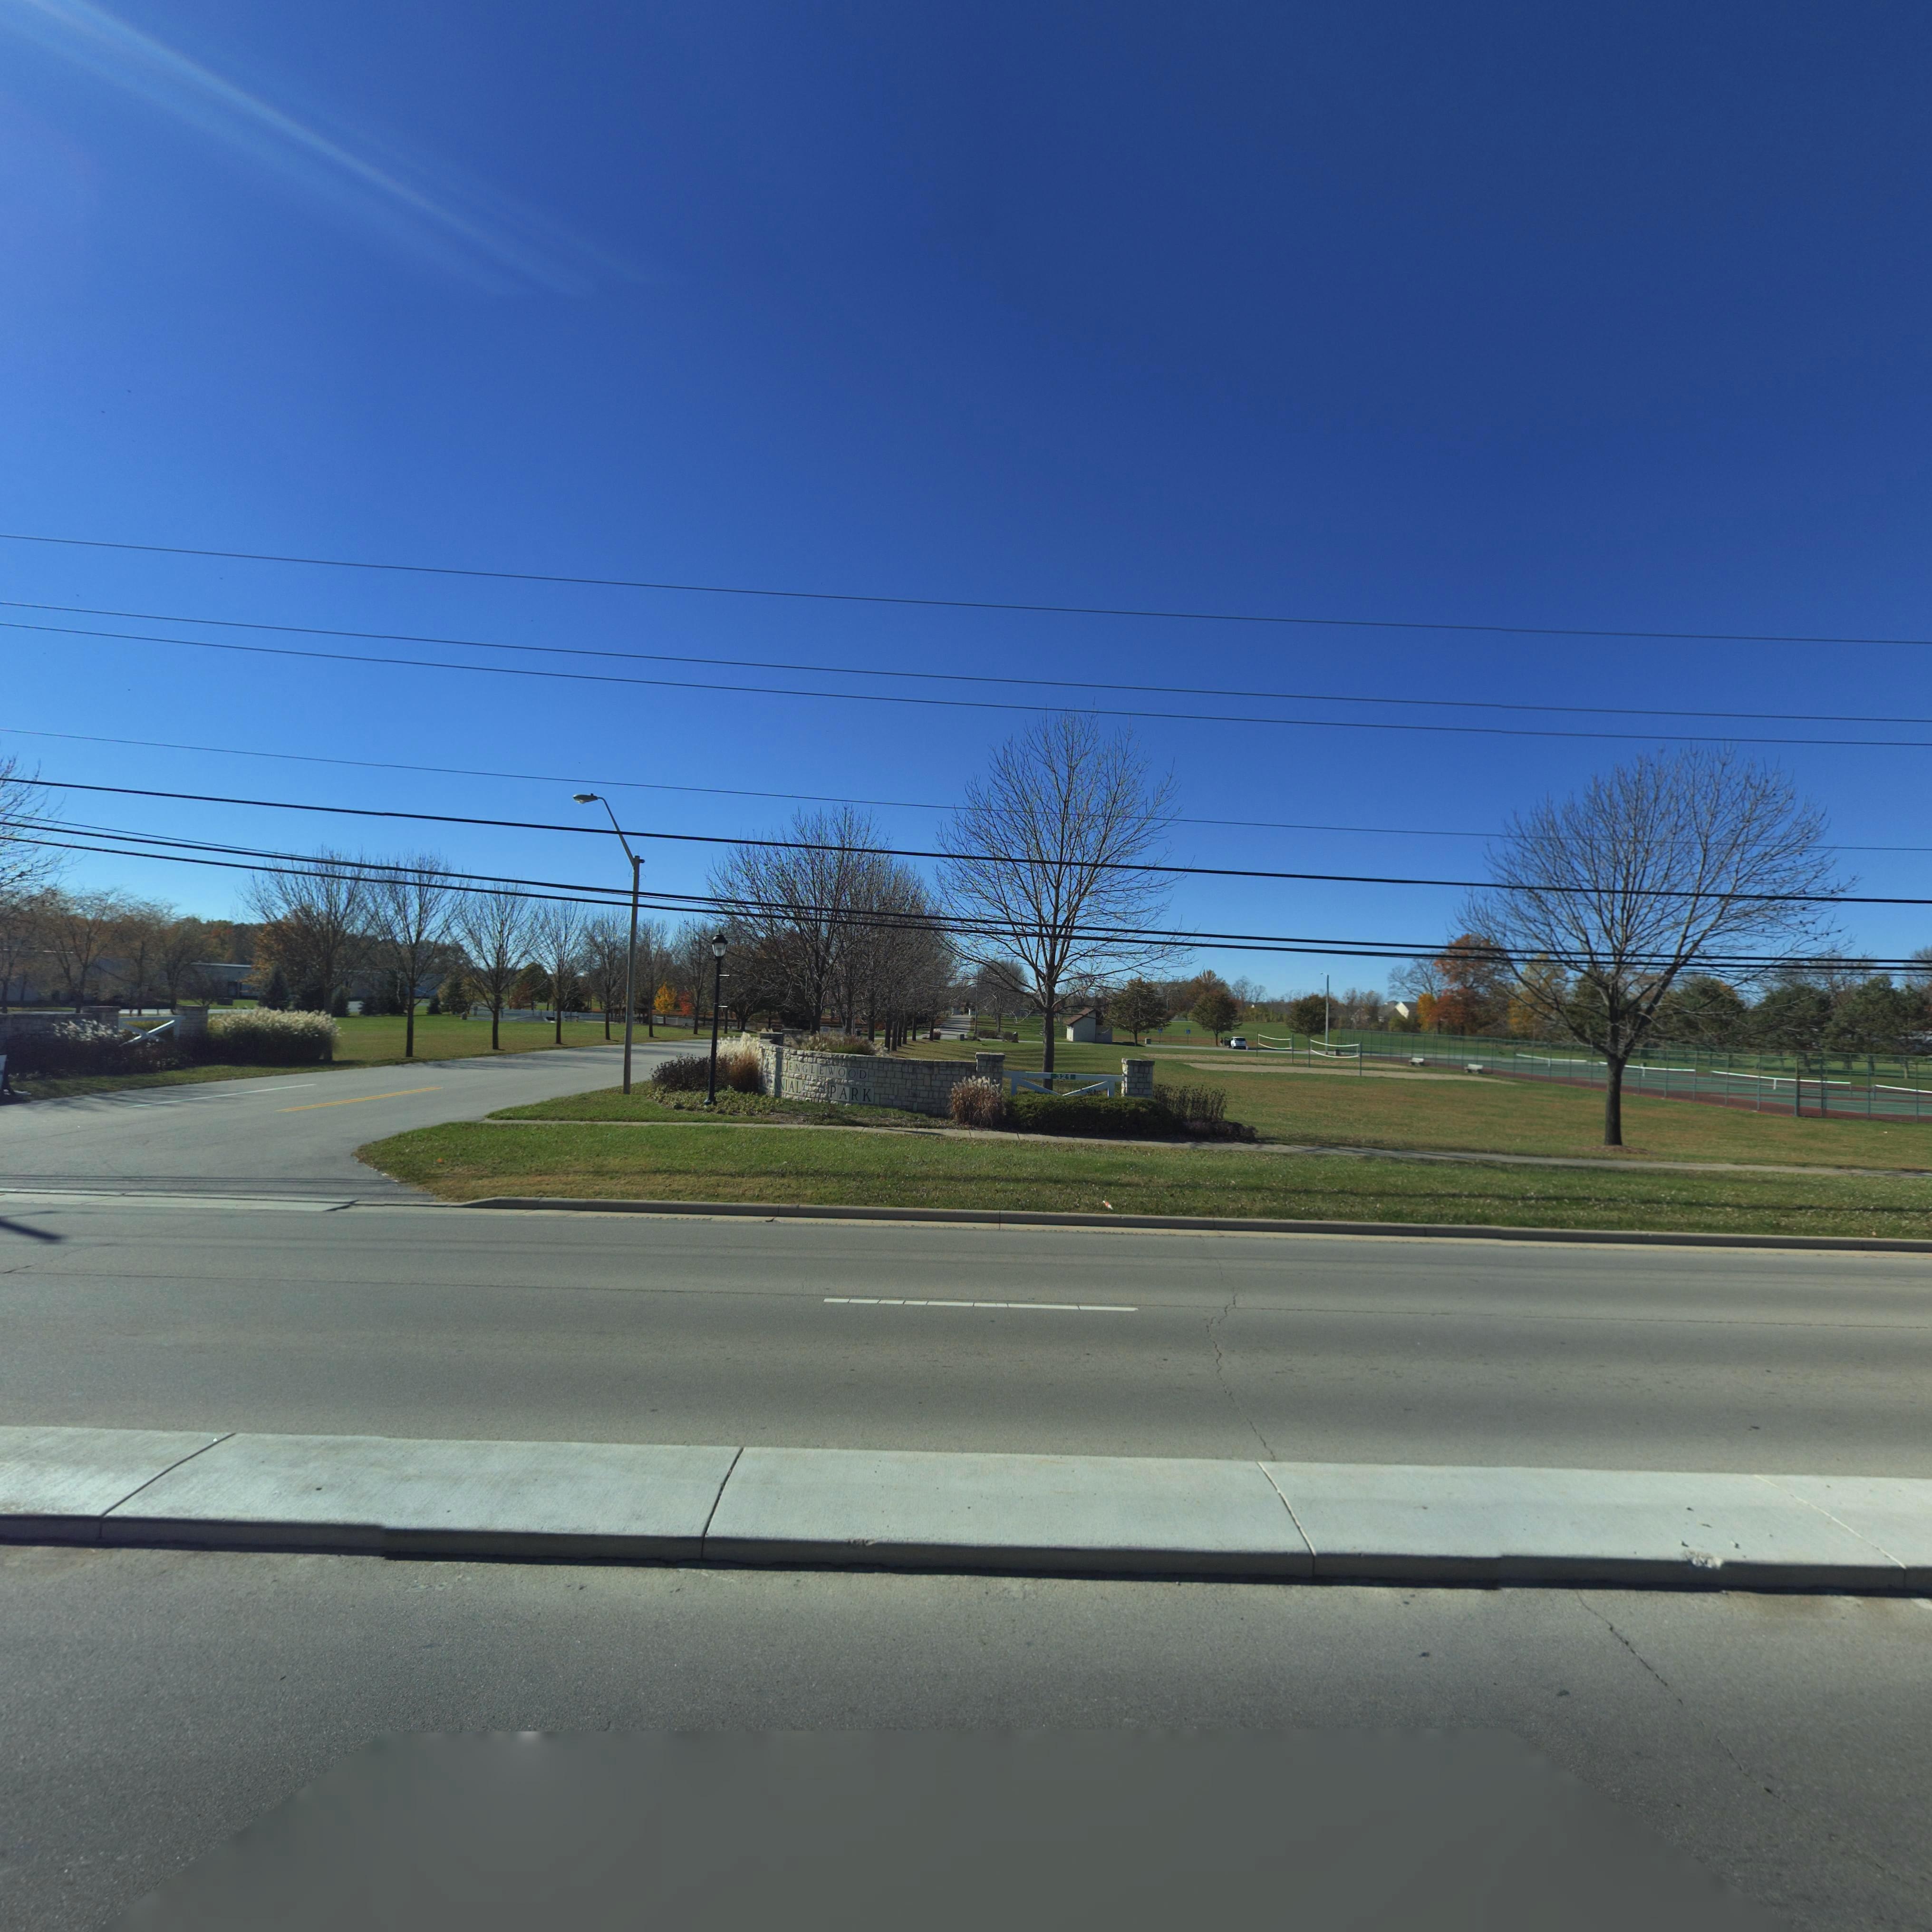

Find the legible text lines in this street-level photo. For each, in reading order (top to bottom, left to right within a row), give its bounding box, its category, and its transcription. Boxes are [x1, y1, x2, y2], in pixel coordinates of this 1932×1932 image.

[769, 1074, 802, 1094] None: ENNIAL
[773, 1058, 868, 1080] None: OF ENGLEWOOD
[829, 1084, 872, 1103] None: PARK
[1055, 1073, 1072, 1080] StreetNumber: 321